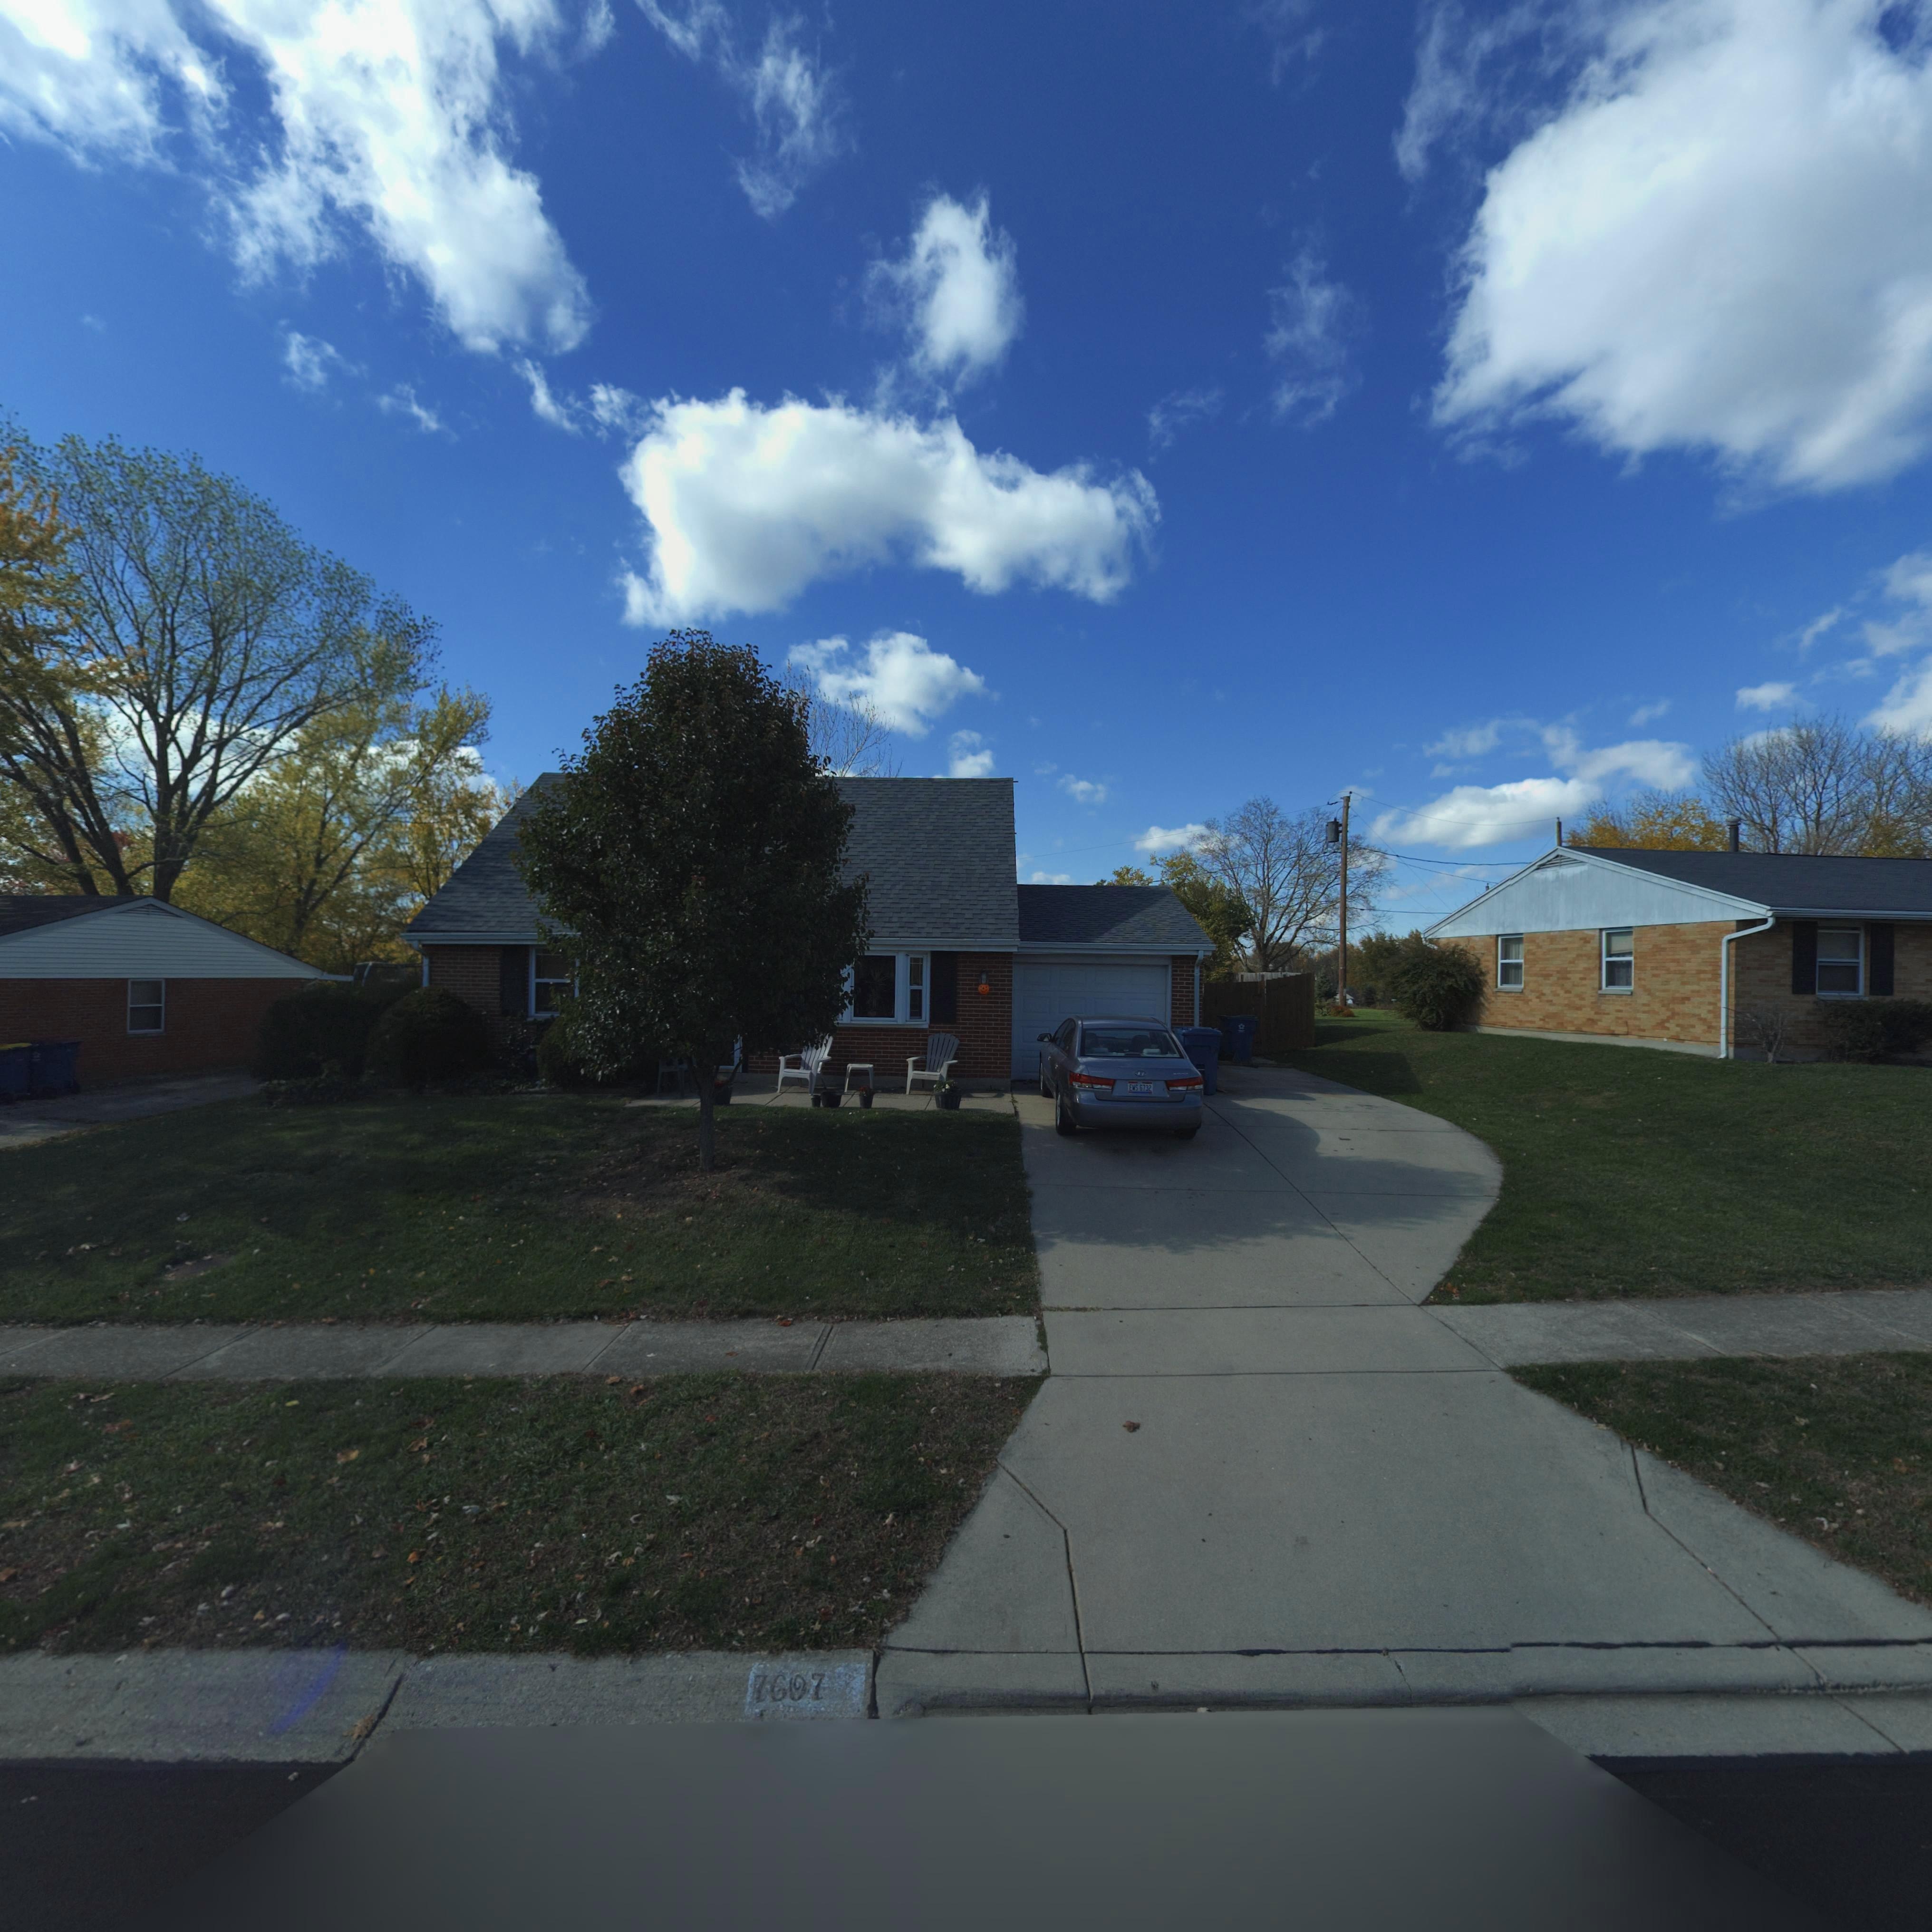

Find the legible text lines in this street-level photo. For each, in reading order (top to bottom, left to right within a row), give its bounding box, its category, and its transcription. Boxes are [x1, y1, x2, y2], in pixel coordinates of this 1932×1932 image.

[752, 1671, 829, 1704] StreetNumber: 7607